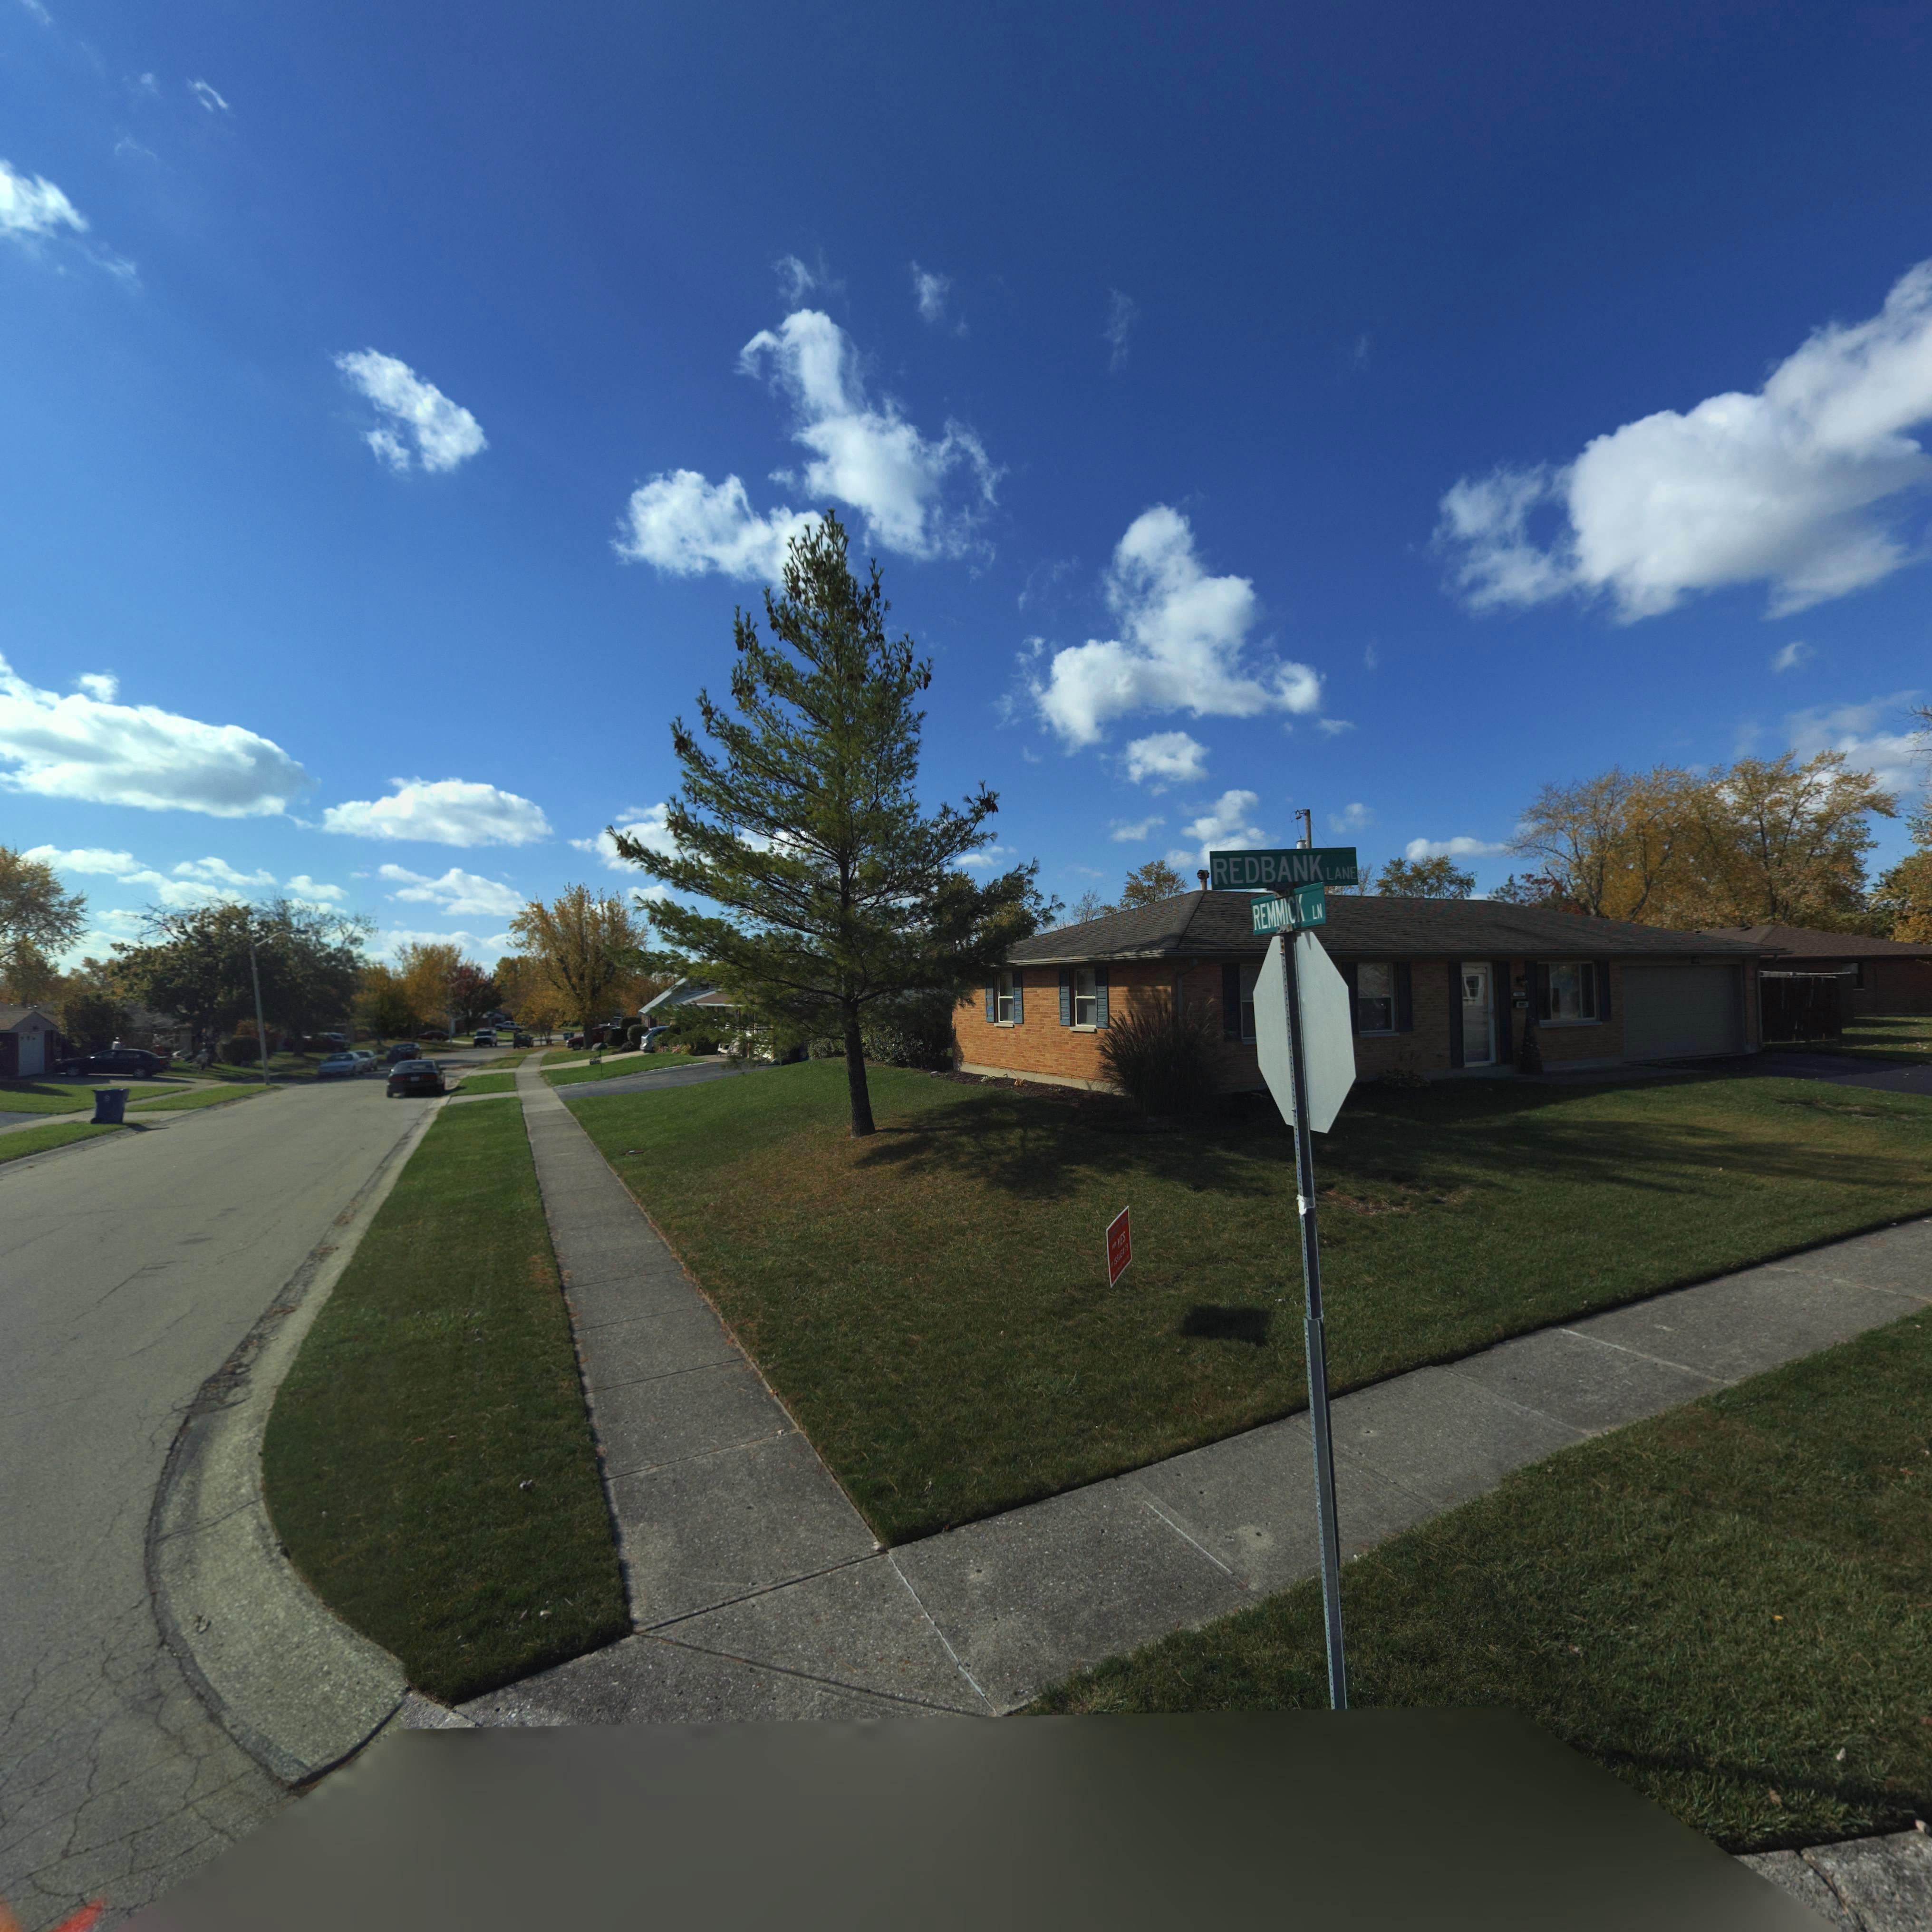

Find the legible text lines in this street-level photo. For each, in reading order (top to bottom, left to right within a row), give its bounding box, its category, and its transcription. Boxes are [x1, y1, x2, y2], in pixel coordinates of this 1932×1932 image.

[1515, 992, 1524, 995] StreetNumber: ***0